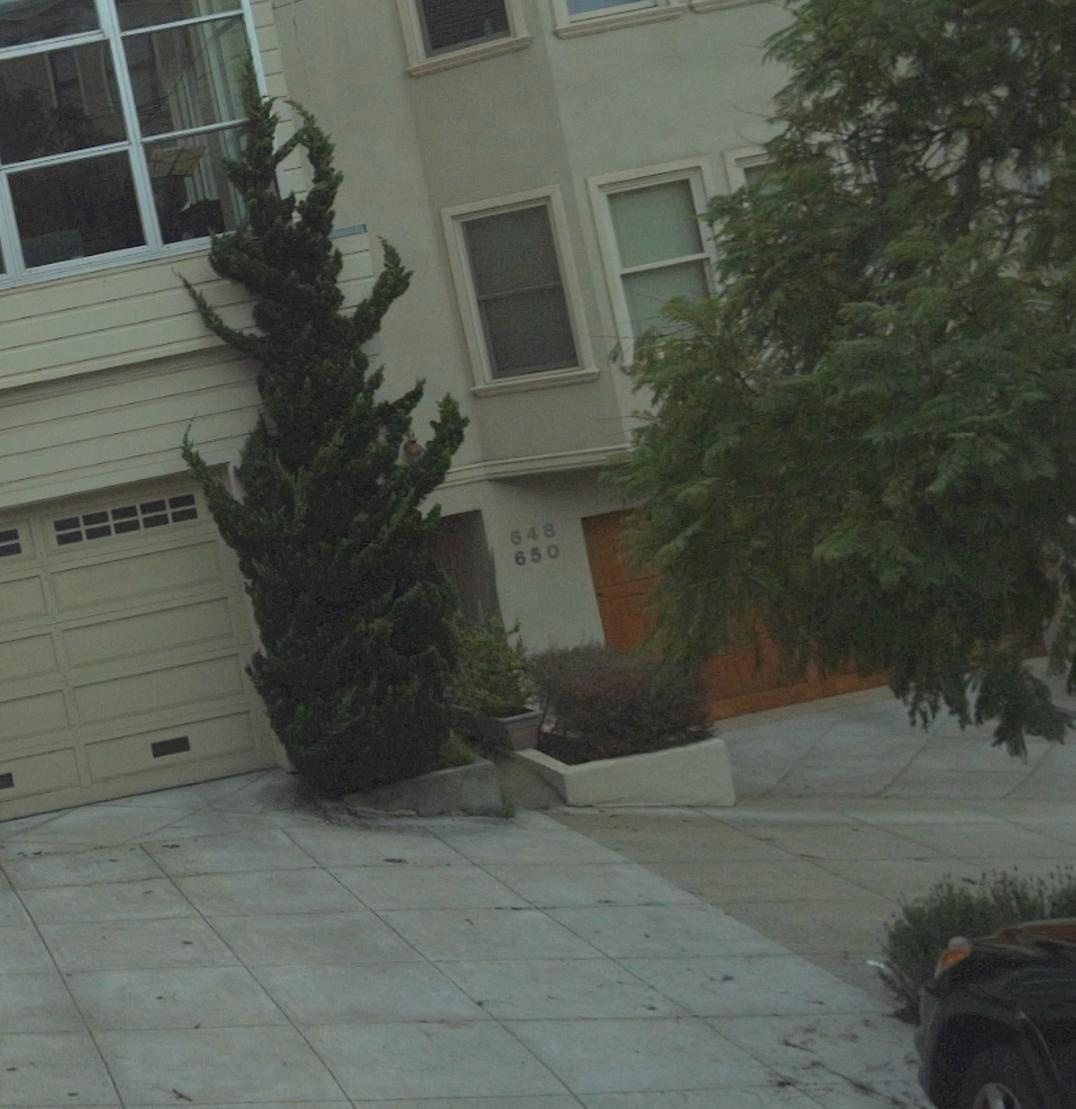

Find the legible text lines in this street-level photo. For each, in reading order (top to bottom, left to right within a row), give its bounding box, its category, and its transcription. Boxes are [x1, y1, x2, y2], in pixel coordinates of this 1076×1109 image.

[508, 521, 556, 546] StreetNumber: 648
[514, 543, 560, 567] StreetNumber: 650